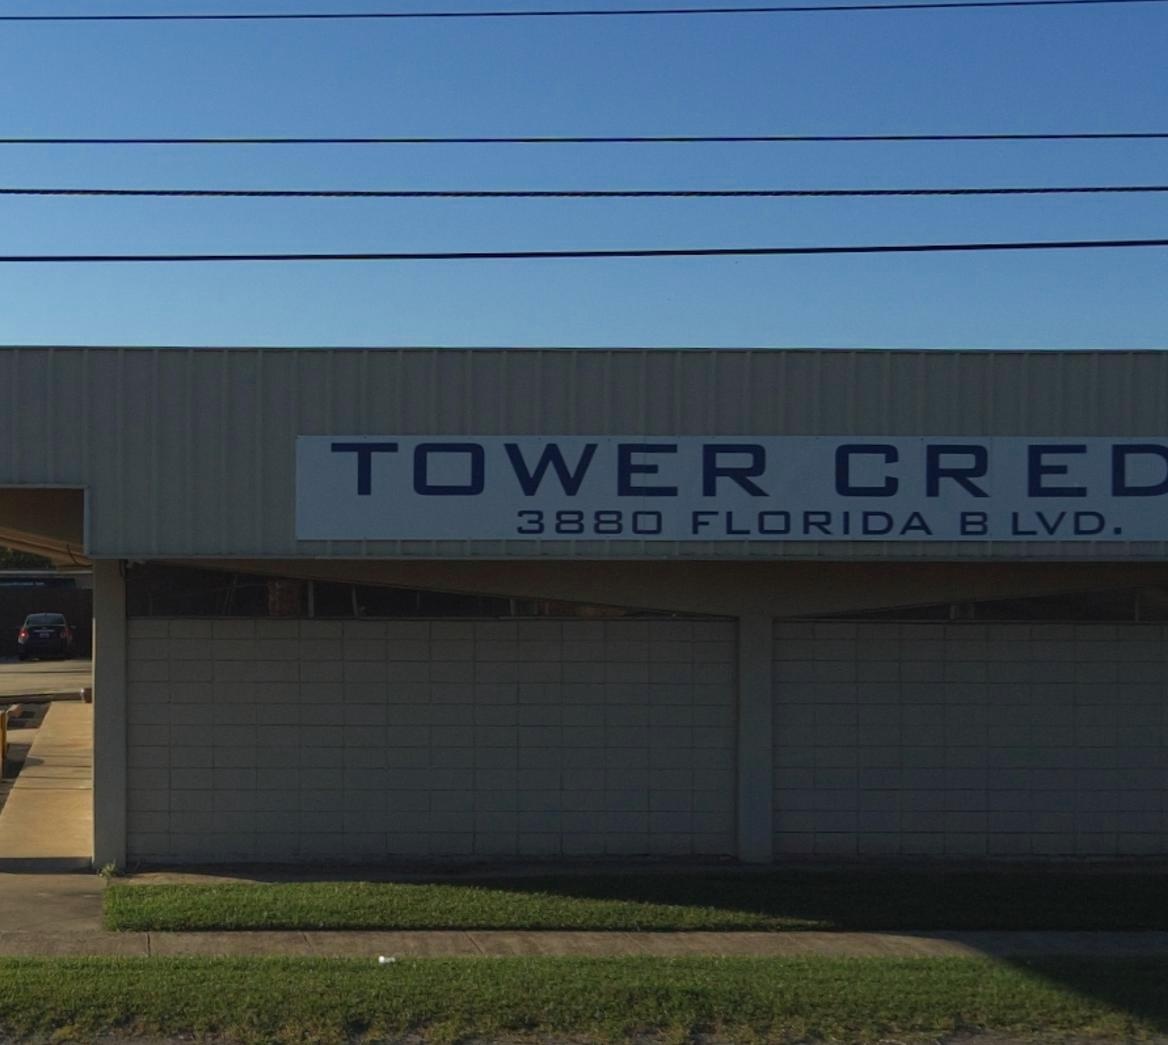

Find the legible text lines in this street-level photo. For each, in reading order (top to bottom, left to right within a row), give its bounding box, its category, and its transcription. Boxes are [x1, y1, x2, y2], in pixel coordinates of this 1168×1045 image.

[327, 435, 1090, 500] BusinessName: TOWER CRE
[510, 504, 667, 537] StreetNumber: 3880
[686, 505, 1125, 538] StreetName: FLORIDA BLVD.